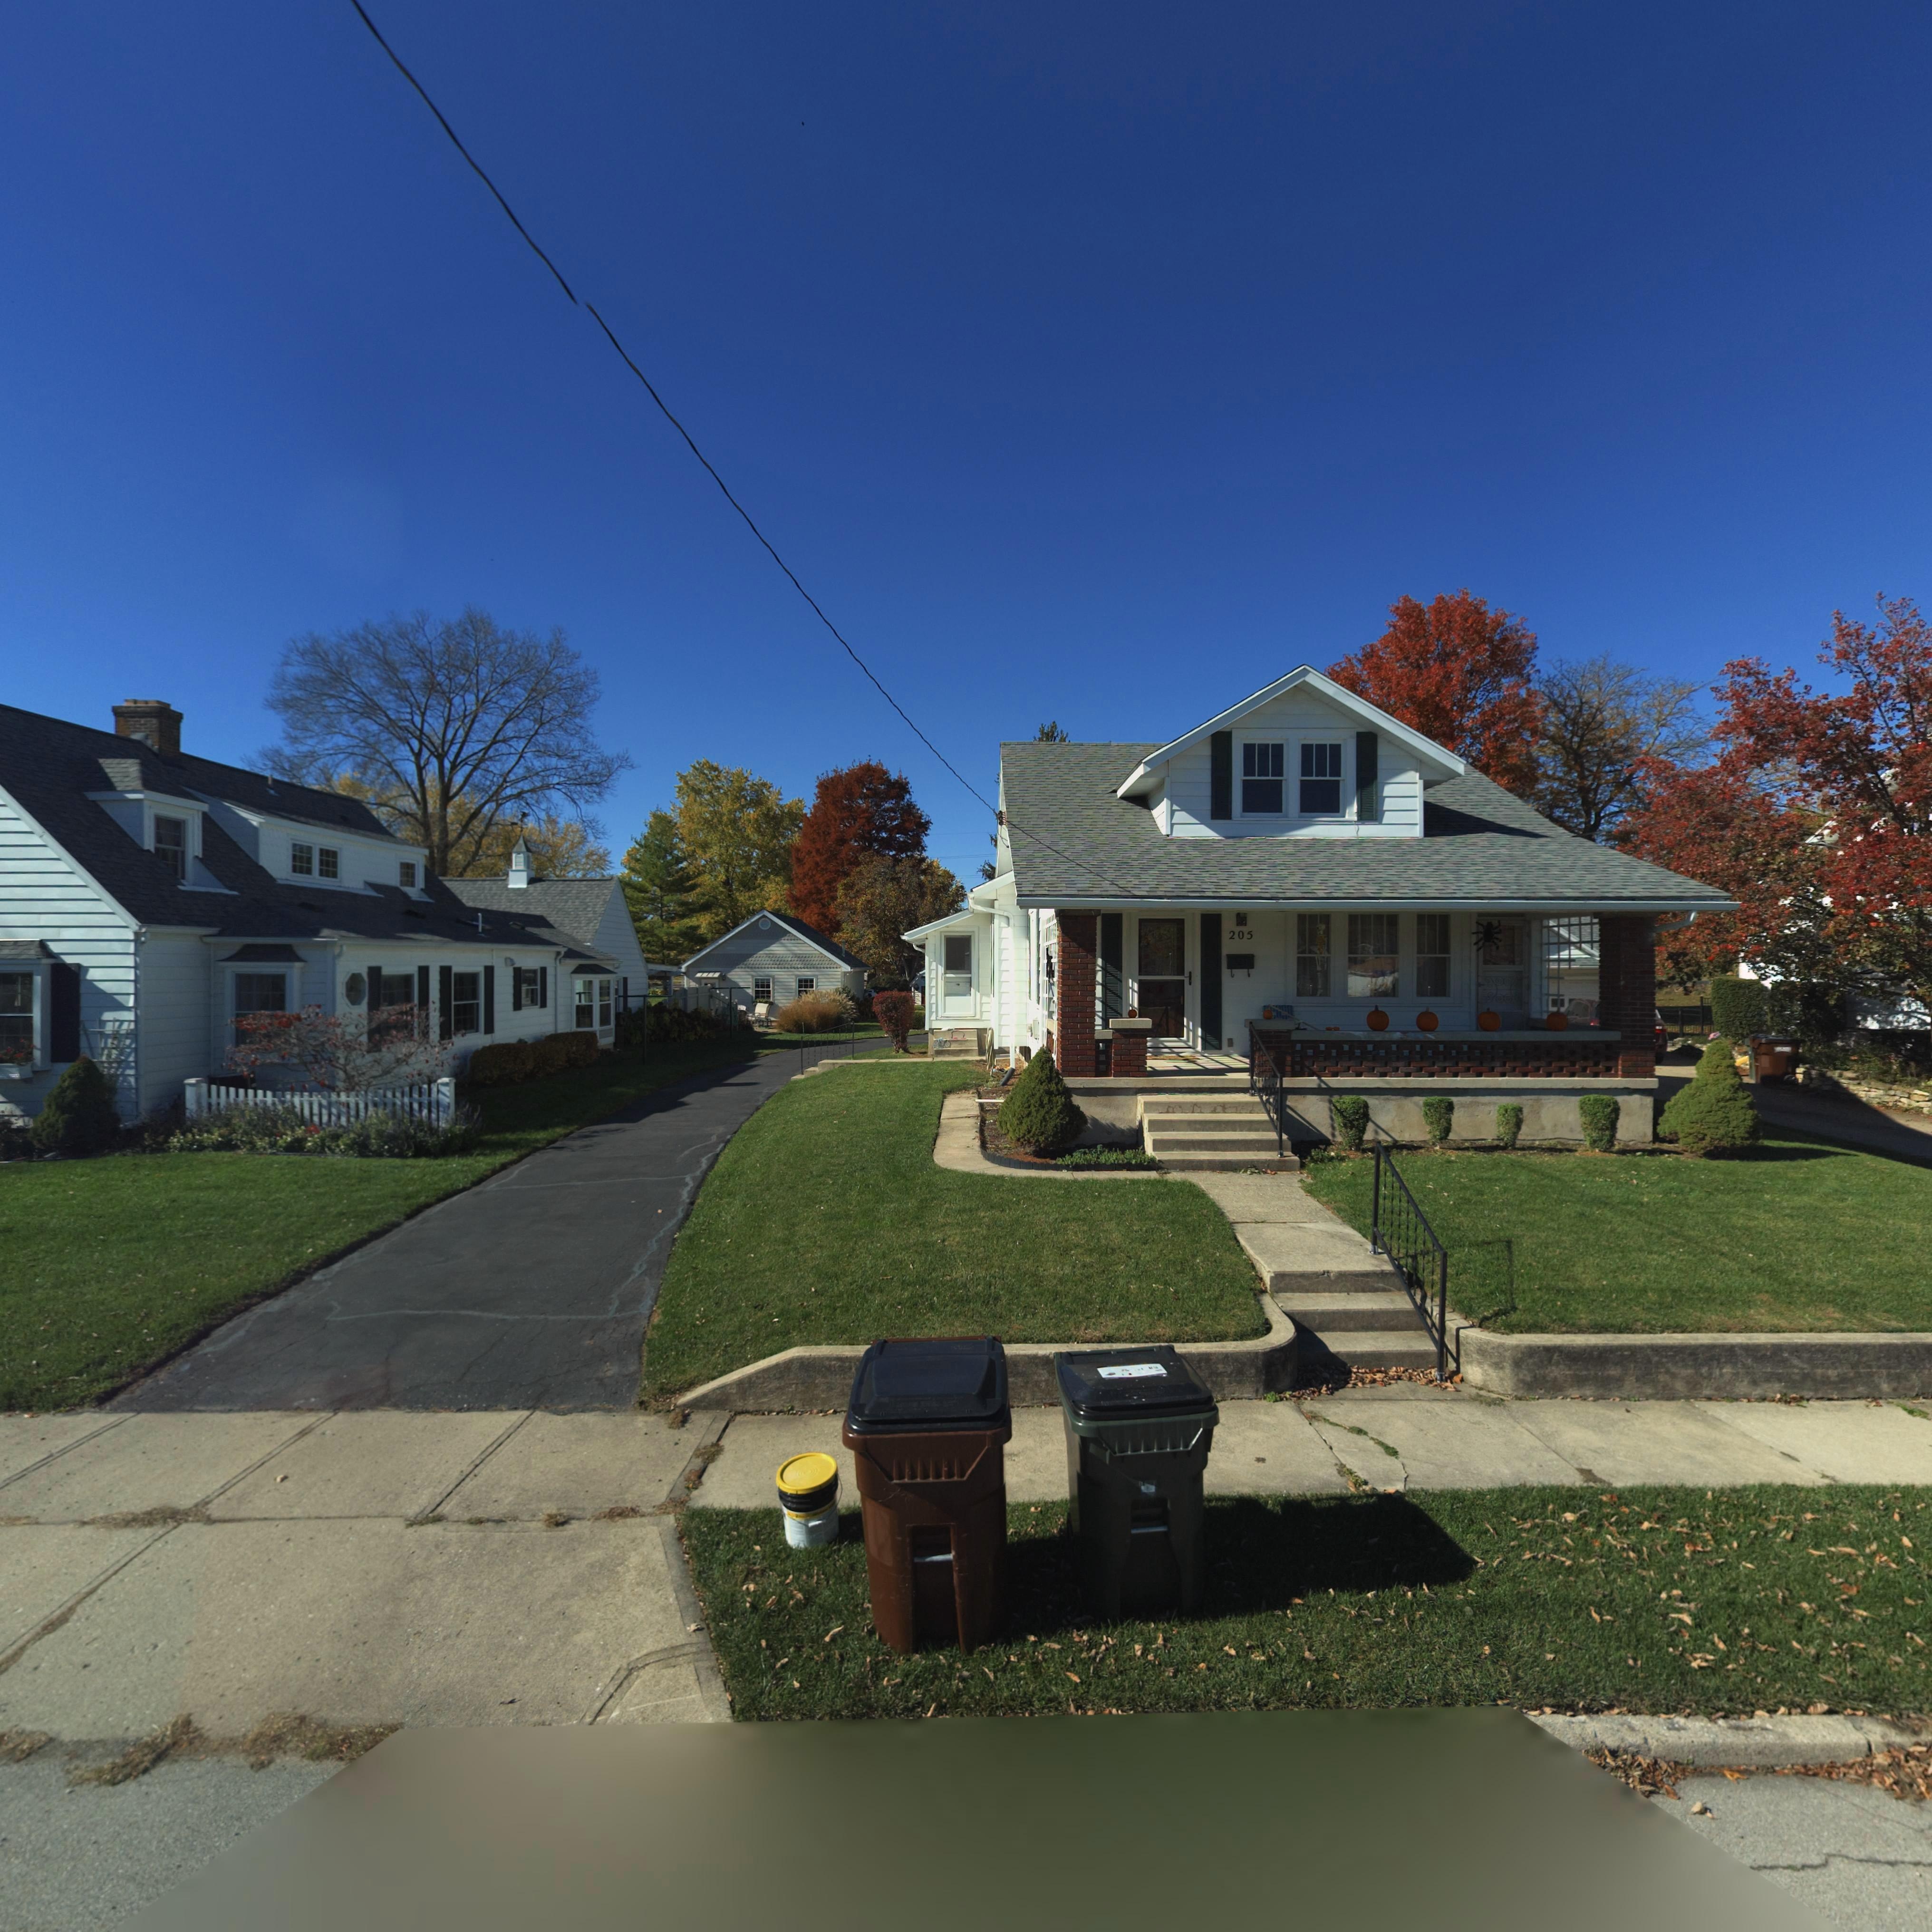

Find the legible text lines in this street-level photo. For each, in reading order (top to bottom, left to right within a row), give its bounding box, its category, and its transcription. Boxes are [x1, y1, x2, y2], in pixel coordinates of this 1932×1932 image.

[1228, 930, 1253, 940] StreetNumber: 205